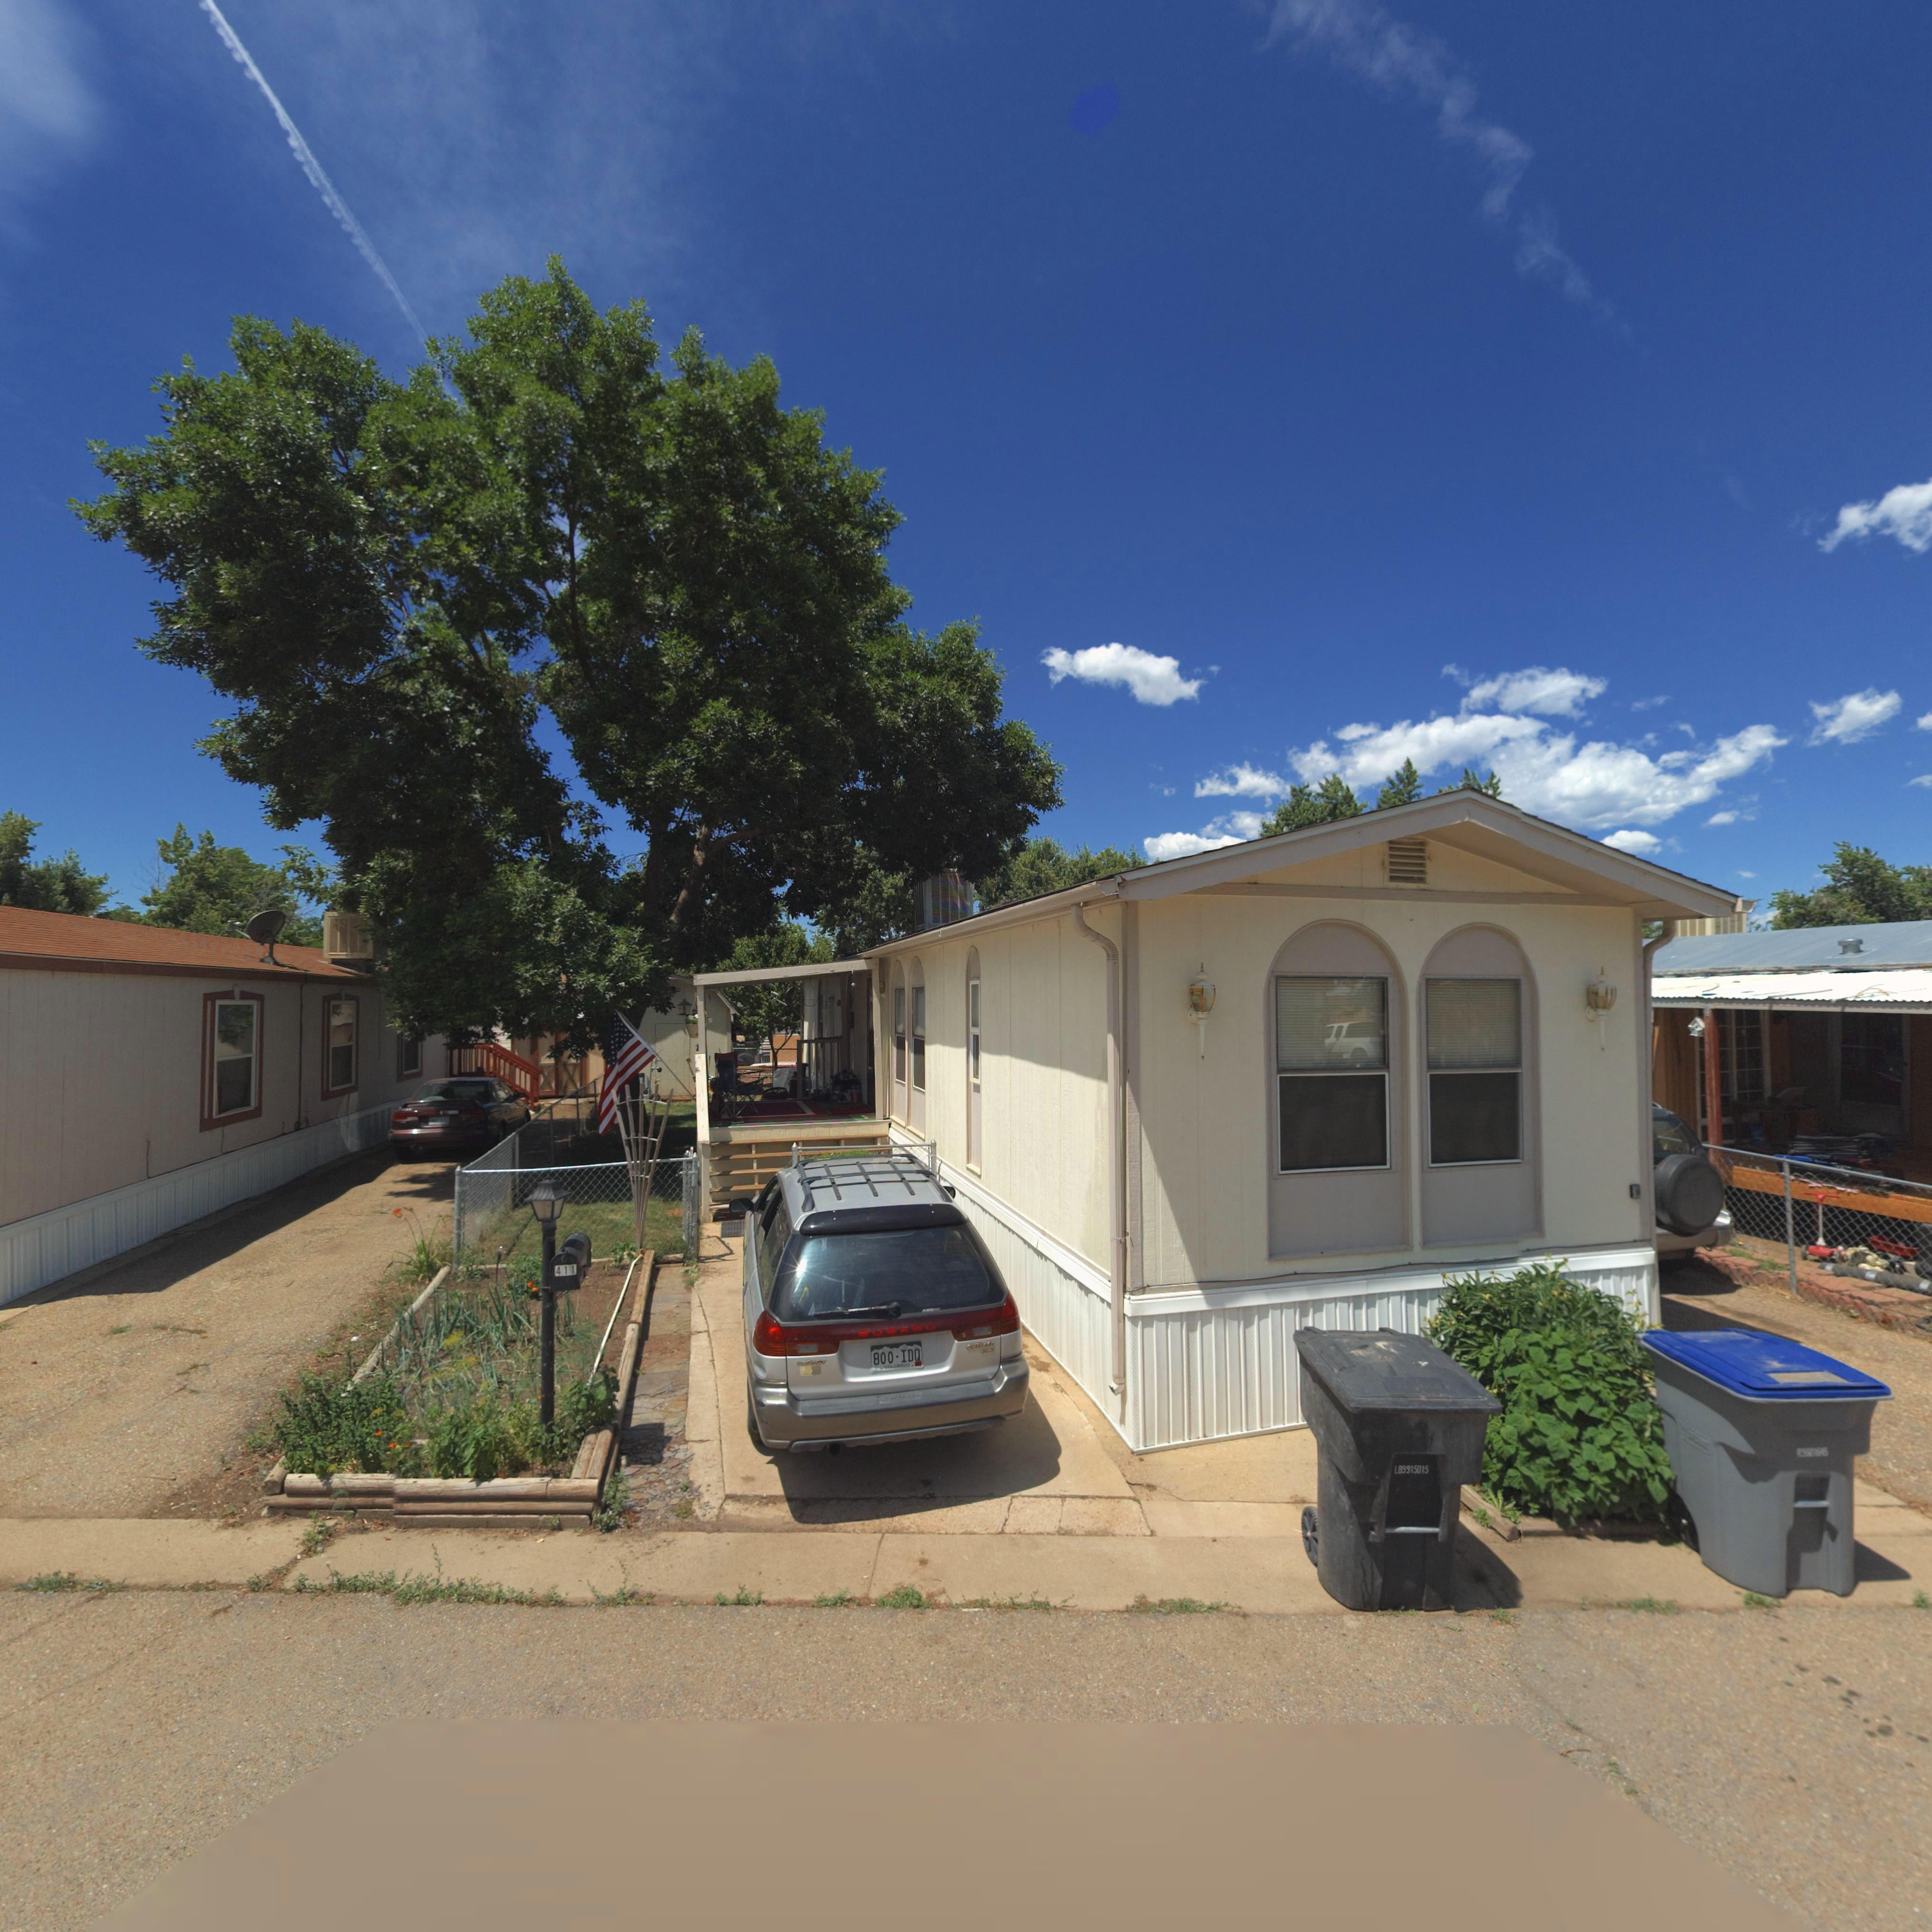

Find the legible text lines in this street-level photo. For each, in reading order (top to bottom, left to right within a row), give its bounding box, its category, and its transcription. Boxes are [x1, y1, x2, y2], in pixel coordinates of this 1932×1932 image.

[555, 1265, 576, 1276] StreetNumber: 411